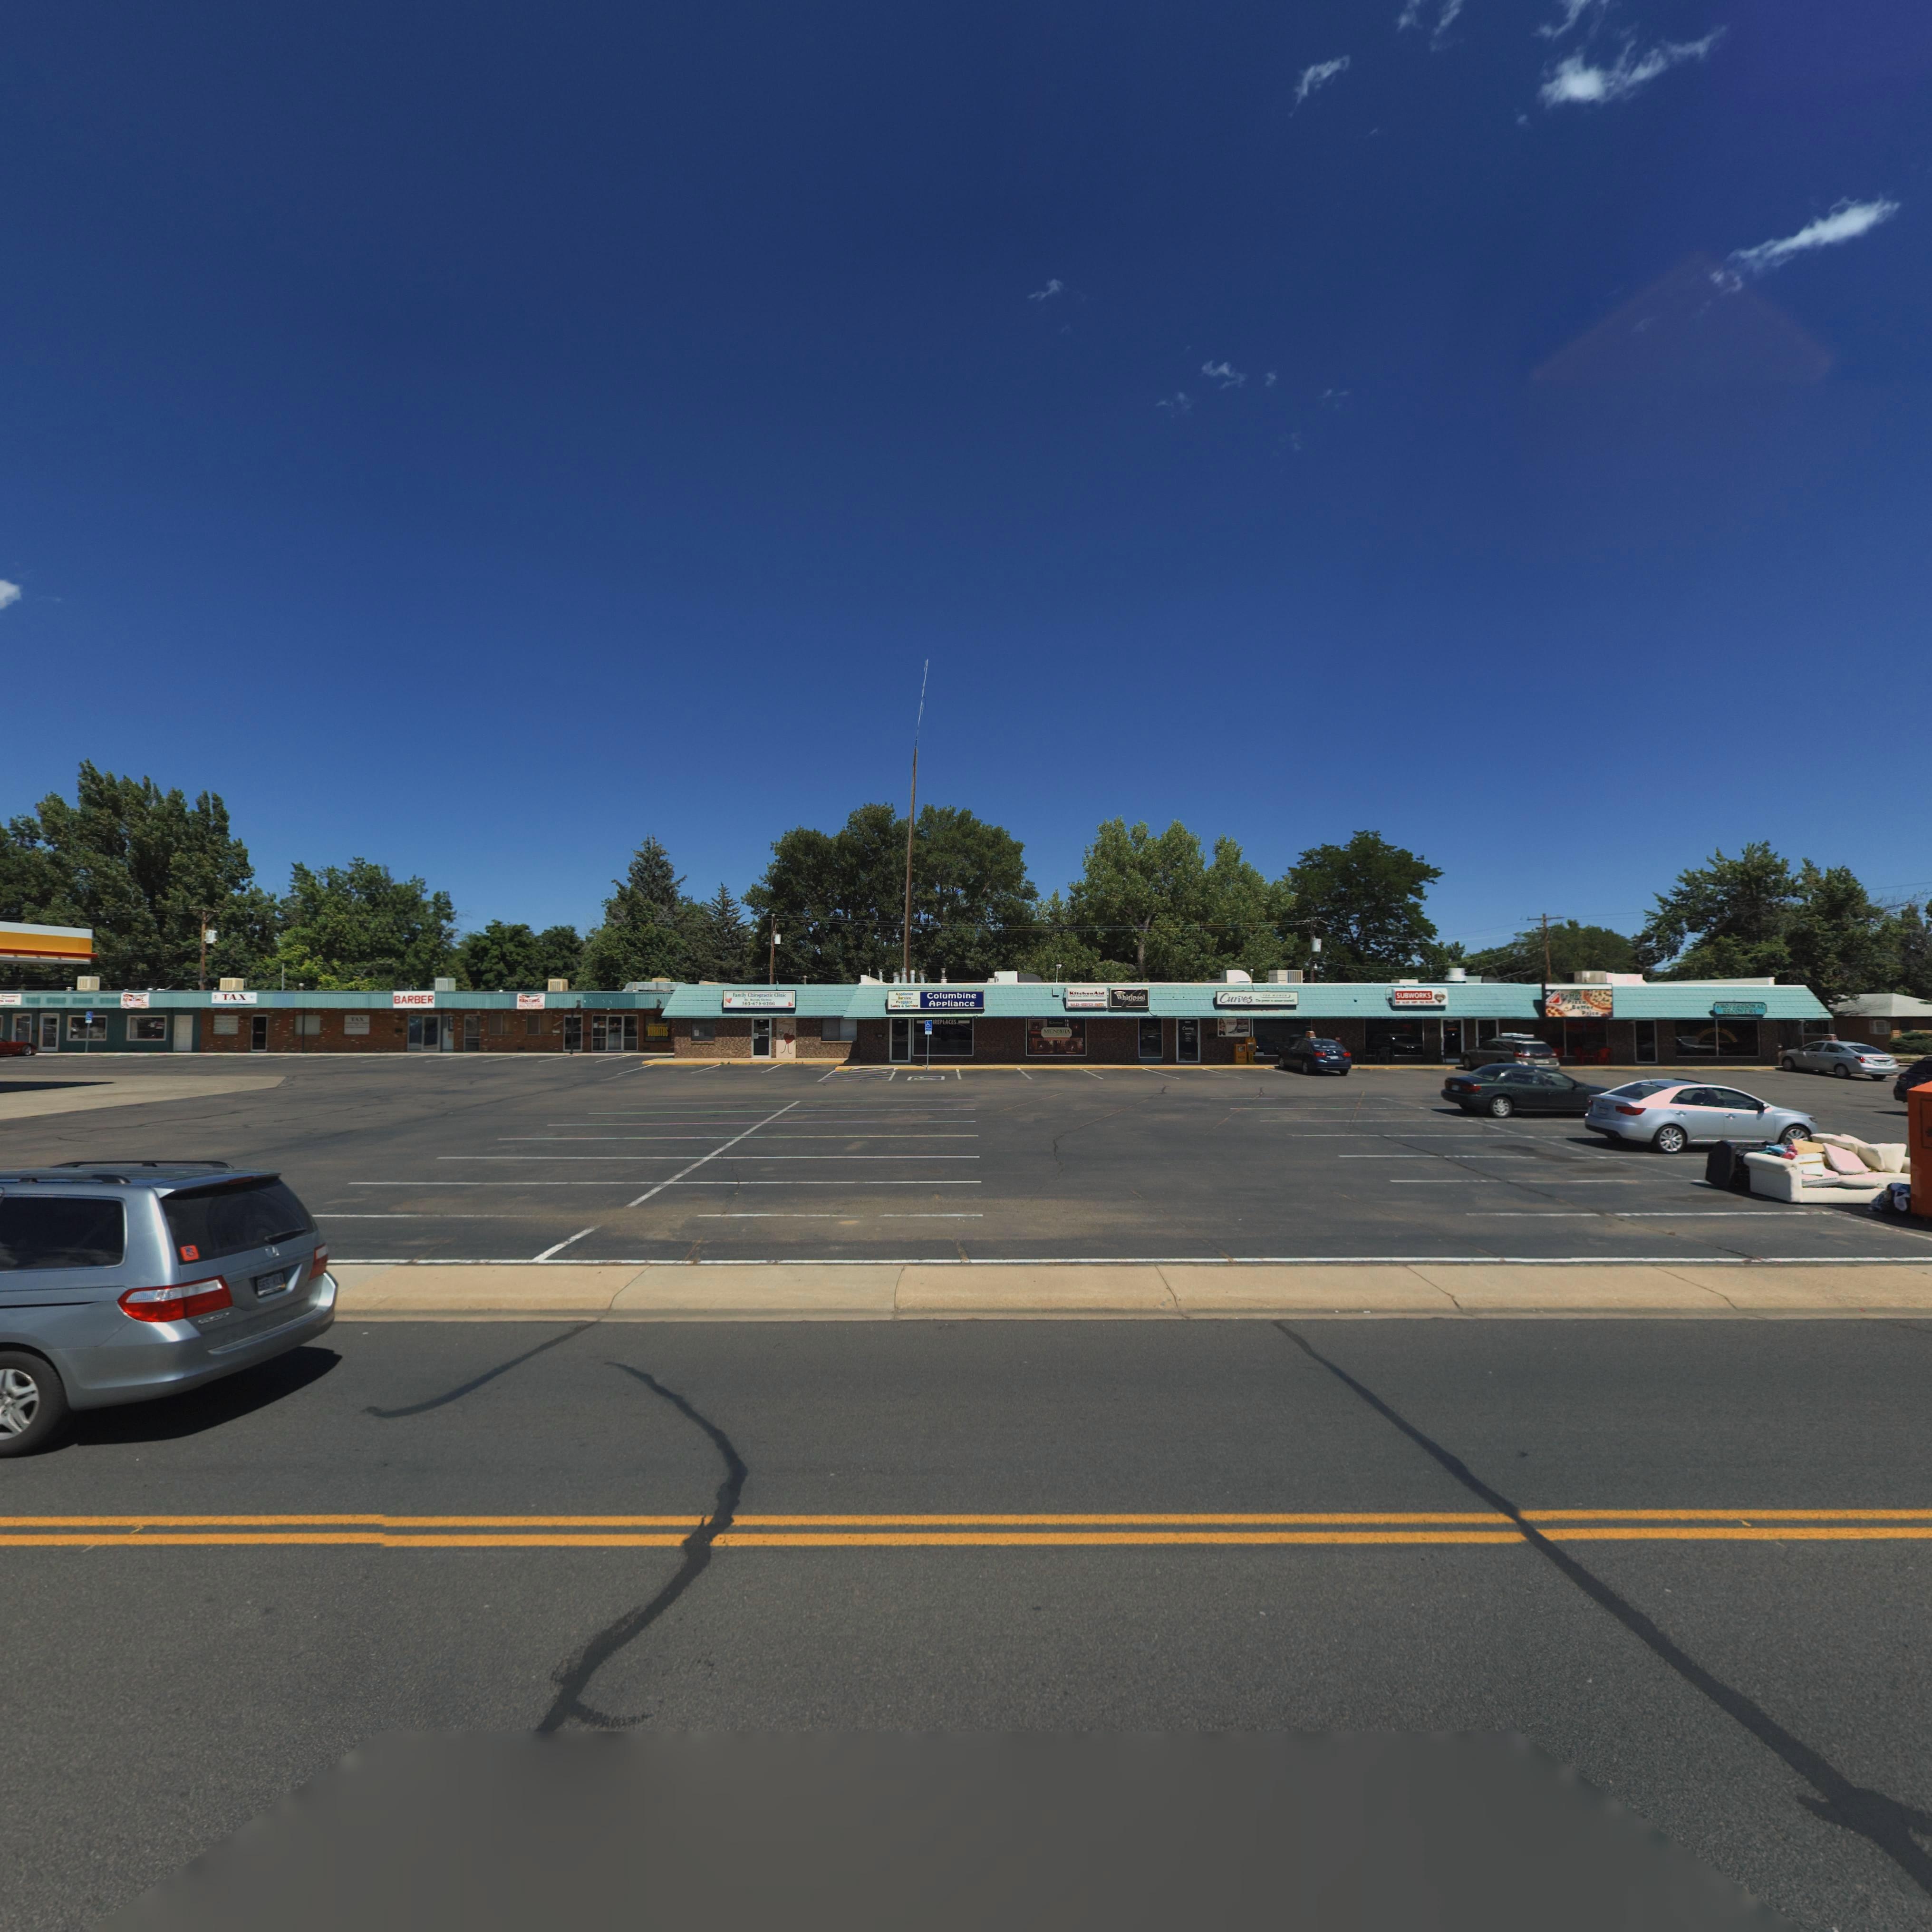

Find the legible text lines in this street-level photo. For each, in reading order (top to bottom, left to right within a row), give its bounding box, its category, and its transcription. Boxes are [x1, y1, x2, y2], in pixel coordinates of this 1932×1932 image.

[732, 992, 787, 998] BusinessName: Family Chiropractic Clinic
[926, 992, 976, 999] BusinessName: Columbine
[1219, 992, 1253, 1004] BusinessName: Curves
[1396, 992, 1431, 998] BusinessName: SUBWORKS
[928, 999, 976, 1007] BusinessName: Appliance
[1716, 1003, 1764, 1009] BusinessName: PROFESSIONAL
[1723, 1008, 1758, 1014] BusinessName: RECOVERY
[1181, 1025, 1194, 1031] BusinessName: Cu*v**s